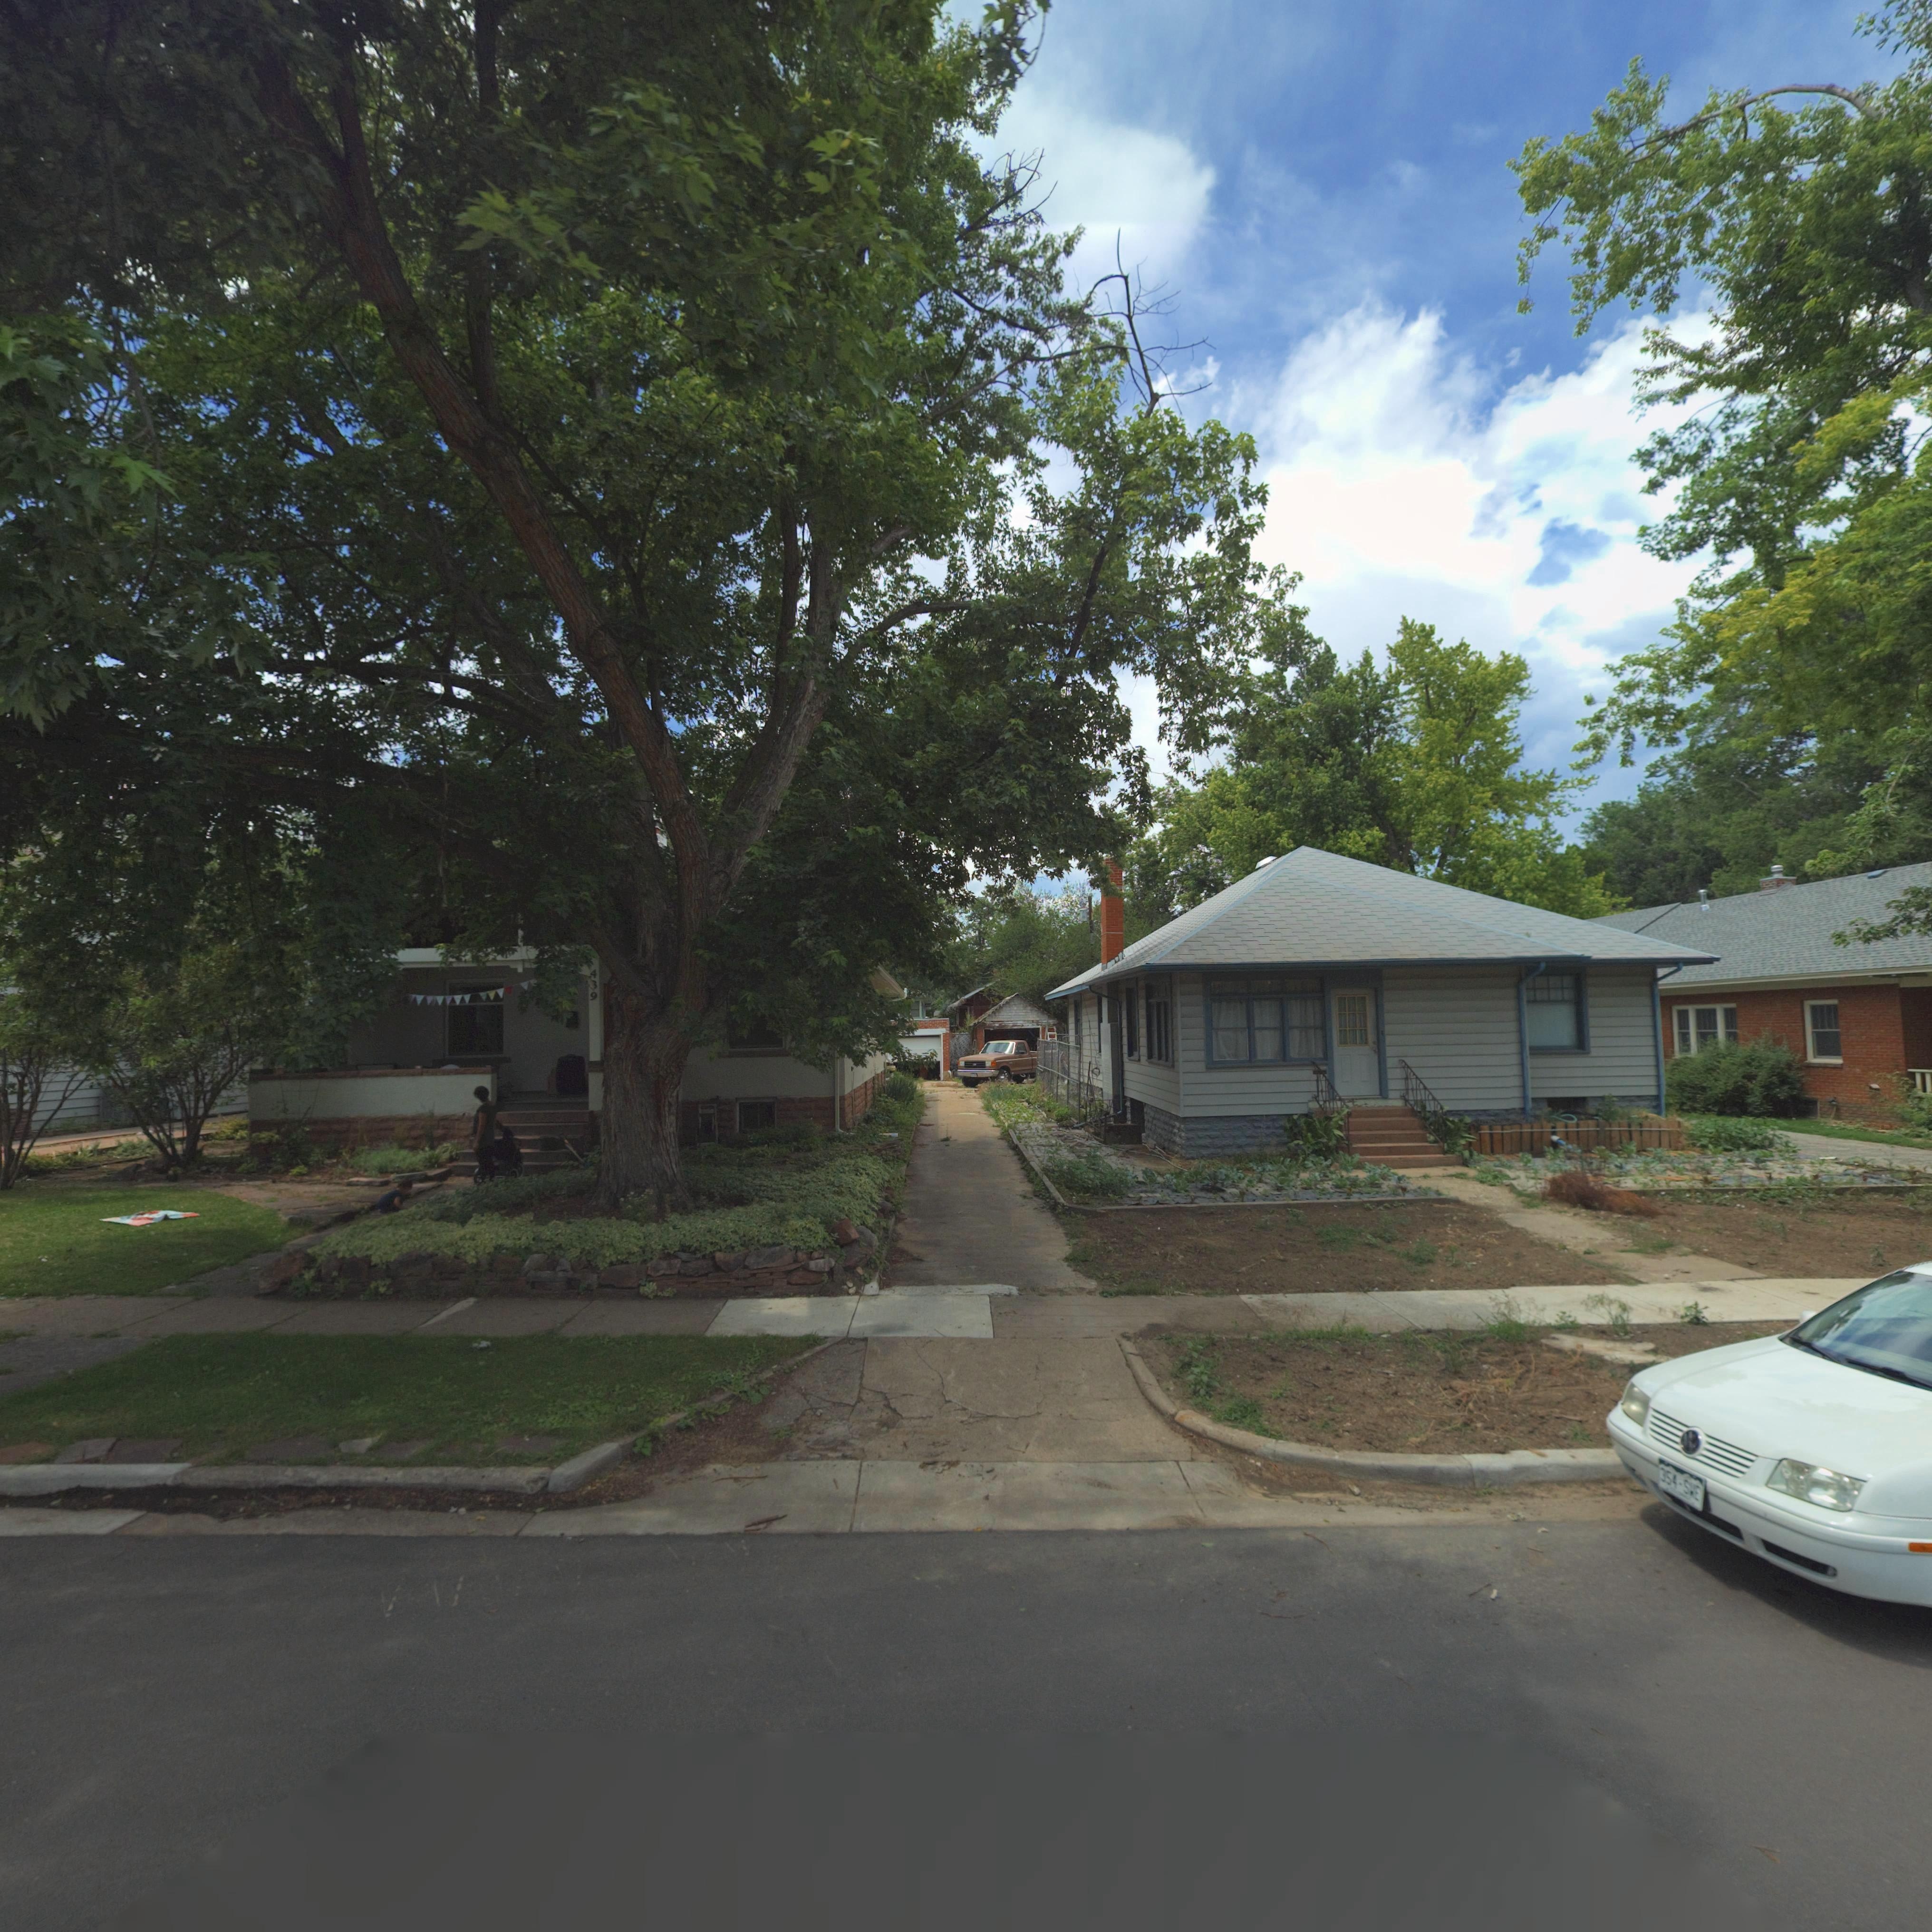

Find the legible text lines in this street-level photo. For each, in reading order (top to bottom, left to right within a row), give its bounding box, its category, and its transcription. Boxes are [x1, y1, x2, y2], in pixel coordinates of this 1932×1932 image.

[589, 968, 598, 1001] StreetNumber: 439